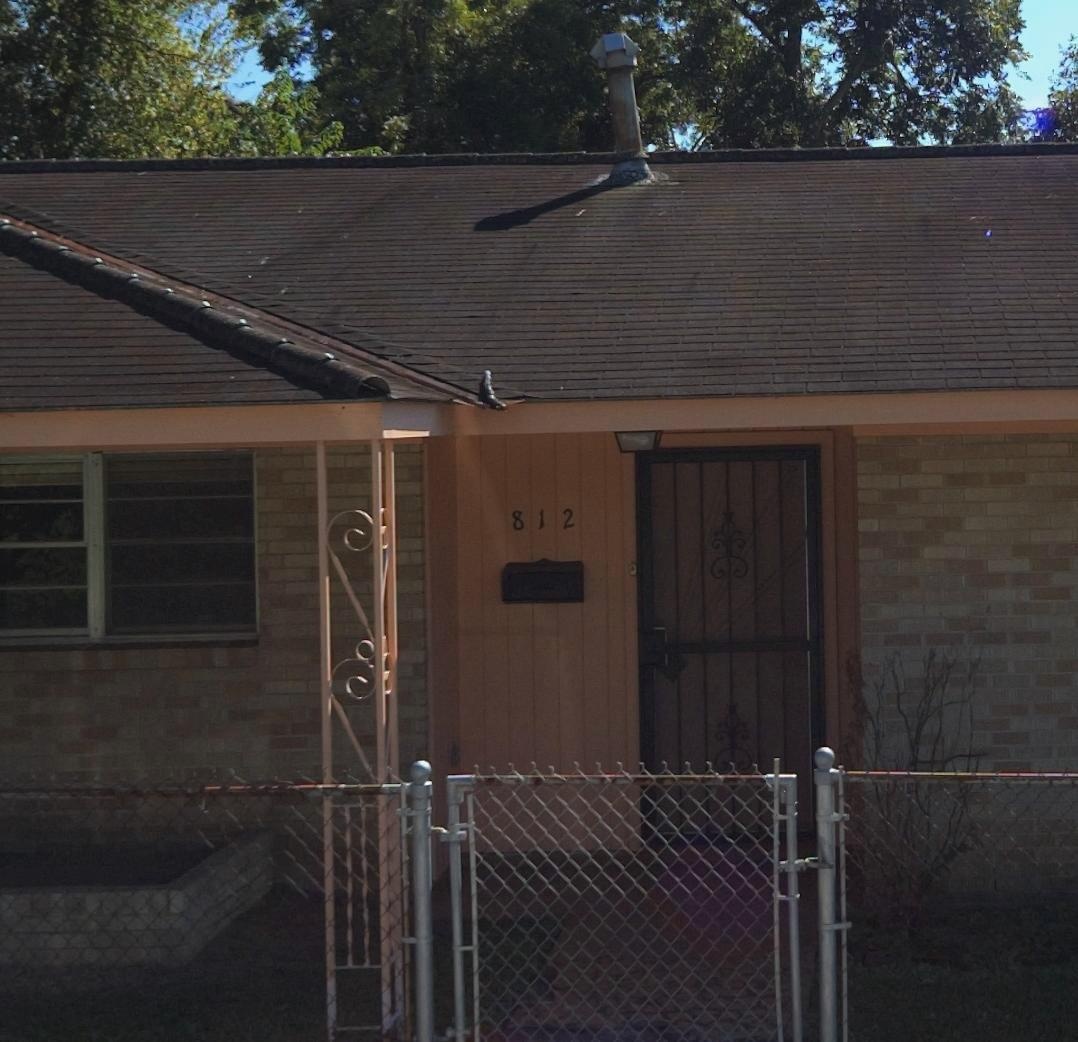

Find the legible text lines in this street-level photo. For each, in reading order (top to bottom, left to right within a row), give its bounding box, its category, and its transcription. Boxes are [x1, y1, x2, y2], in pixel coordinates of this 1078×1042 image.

[510, 506, 578, 533] StreetNumber: 812